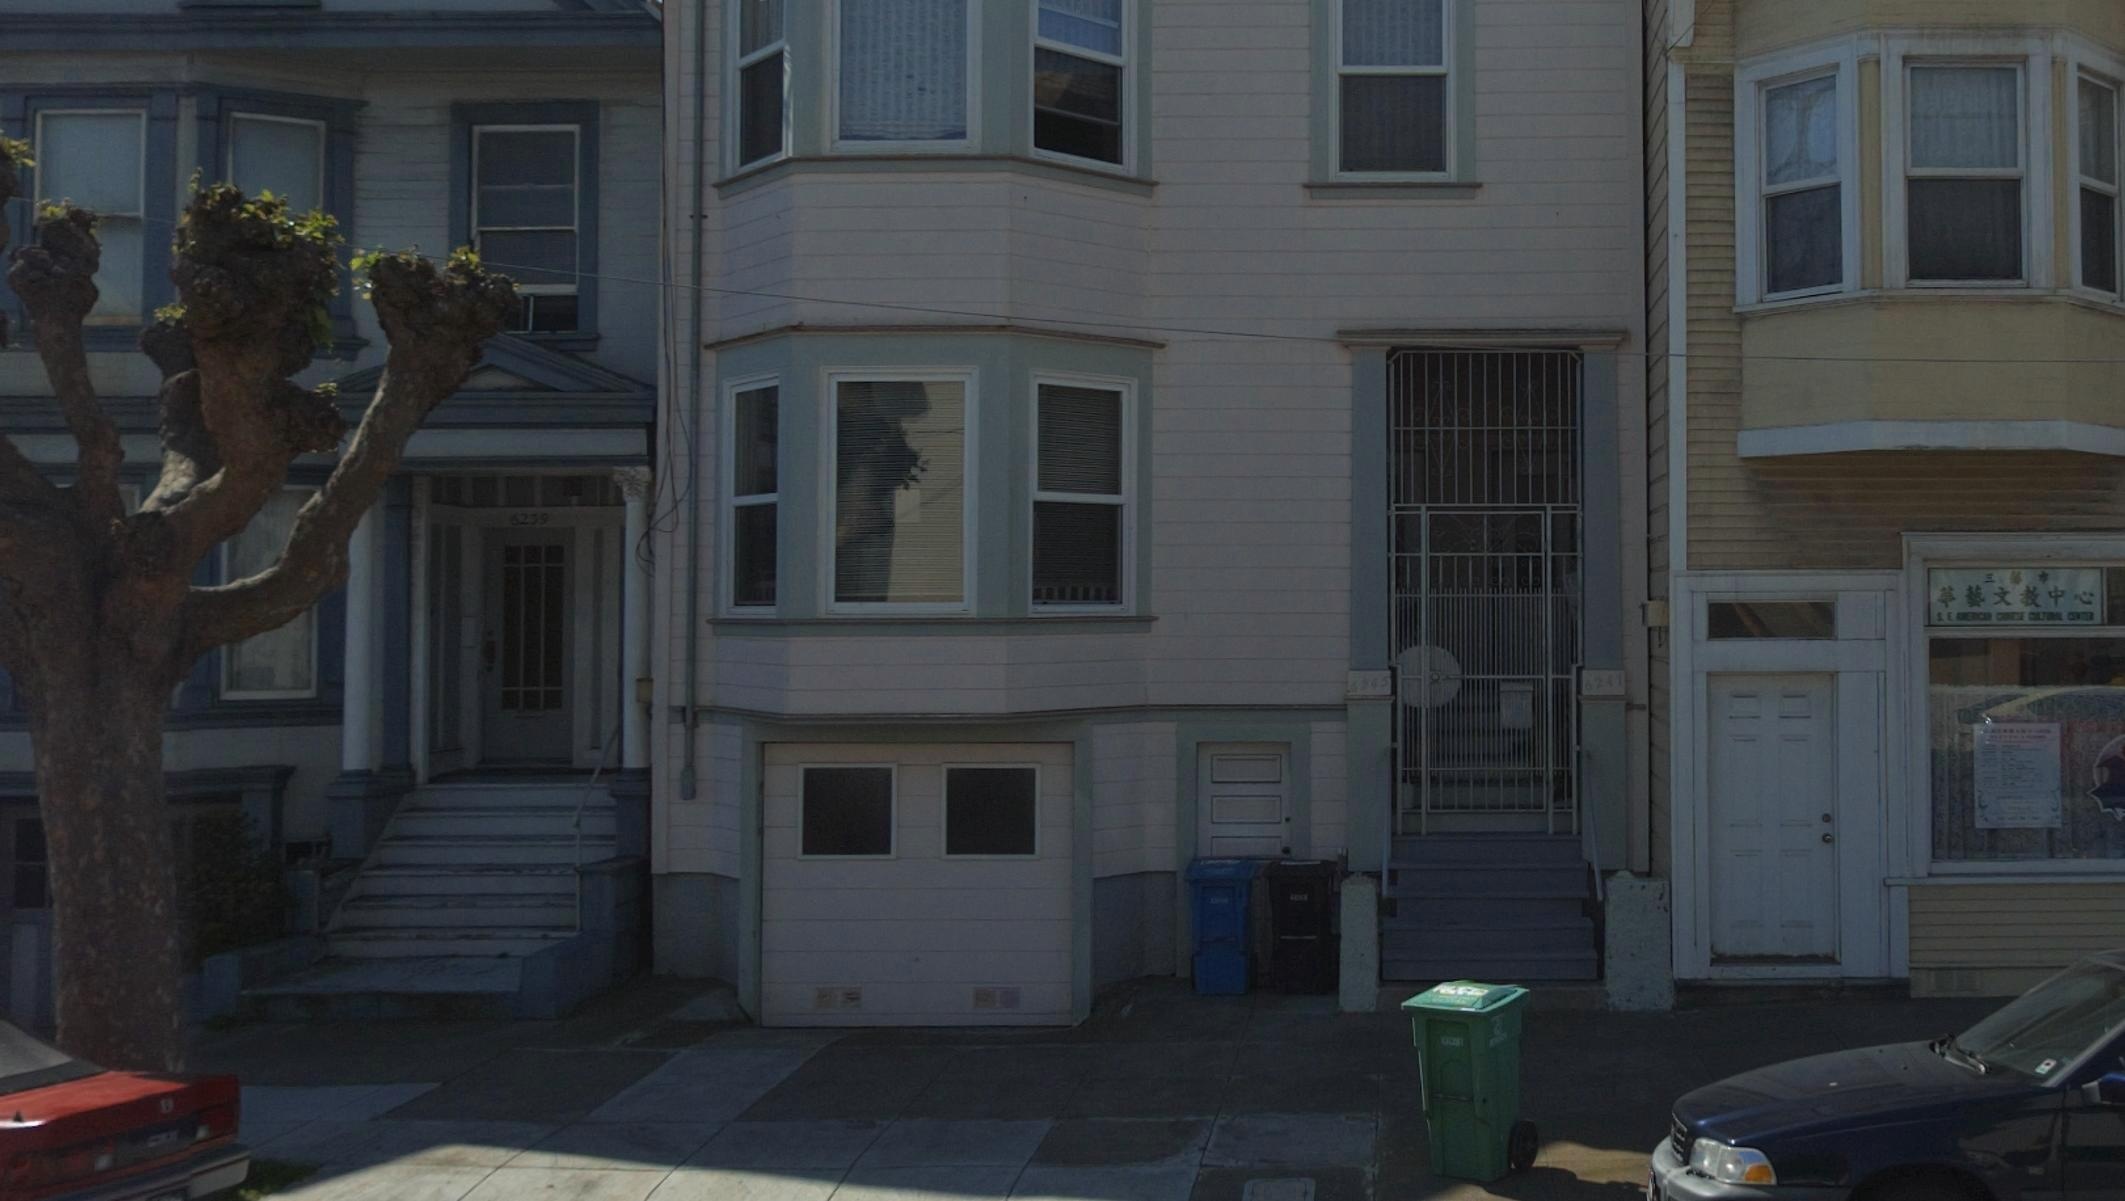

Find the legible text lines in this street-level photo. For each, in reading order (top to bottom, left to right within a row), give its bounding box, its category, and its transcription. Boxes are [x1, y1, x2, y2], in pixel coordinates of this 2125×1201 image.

[510, 511, 552, 528] StreetNumber: 6239
[1347, 675, 1389, 694] StreetNumber: 6245
[1583, 672, 1625, 693] StreetNumber: 6241